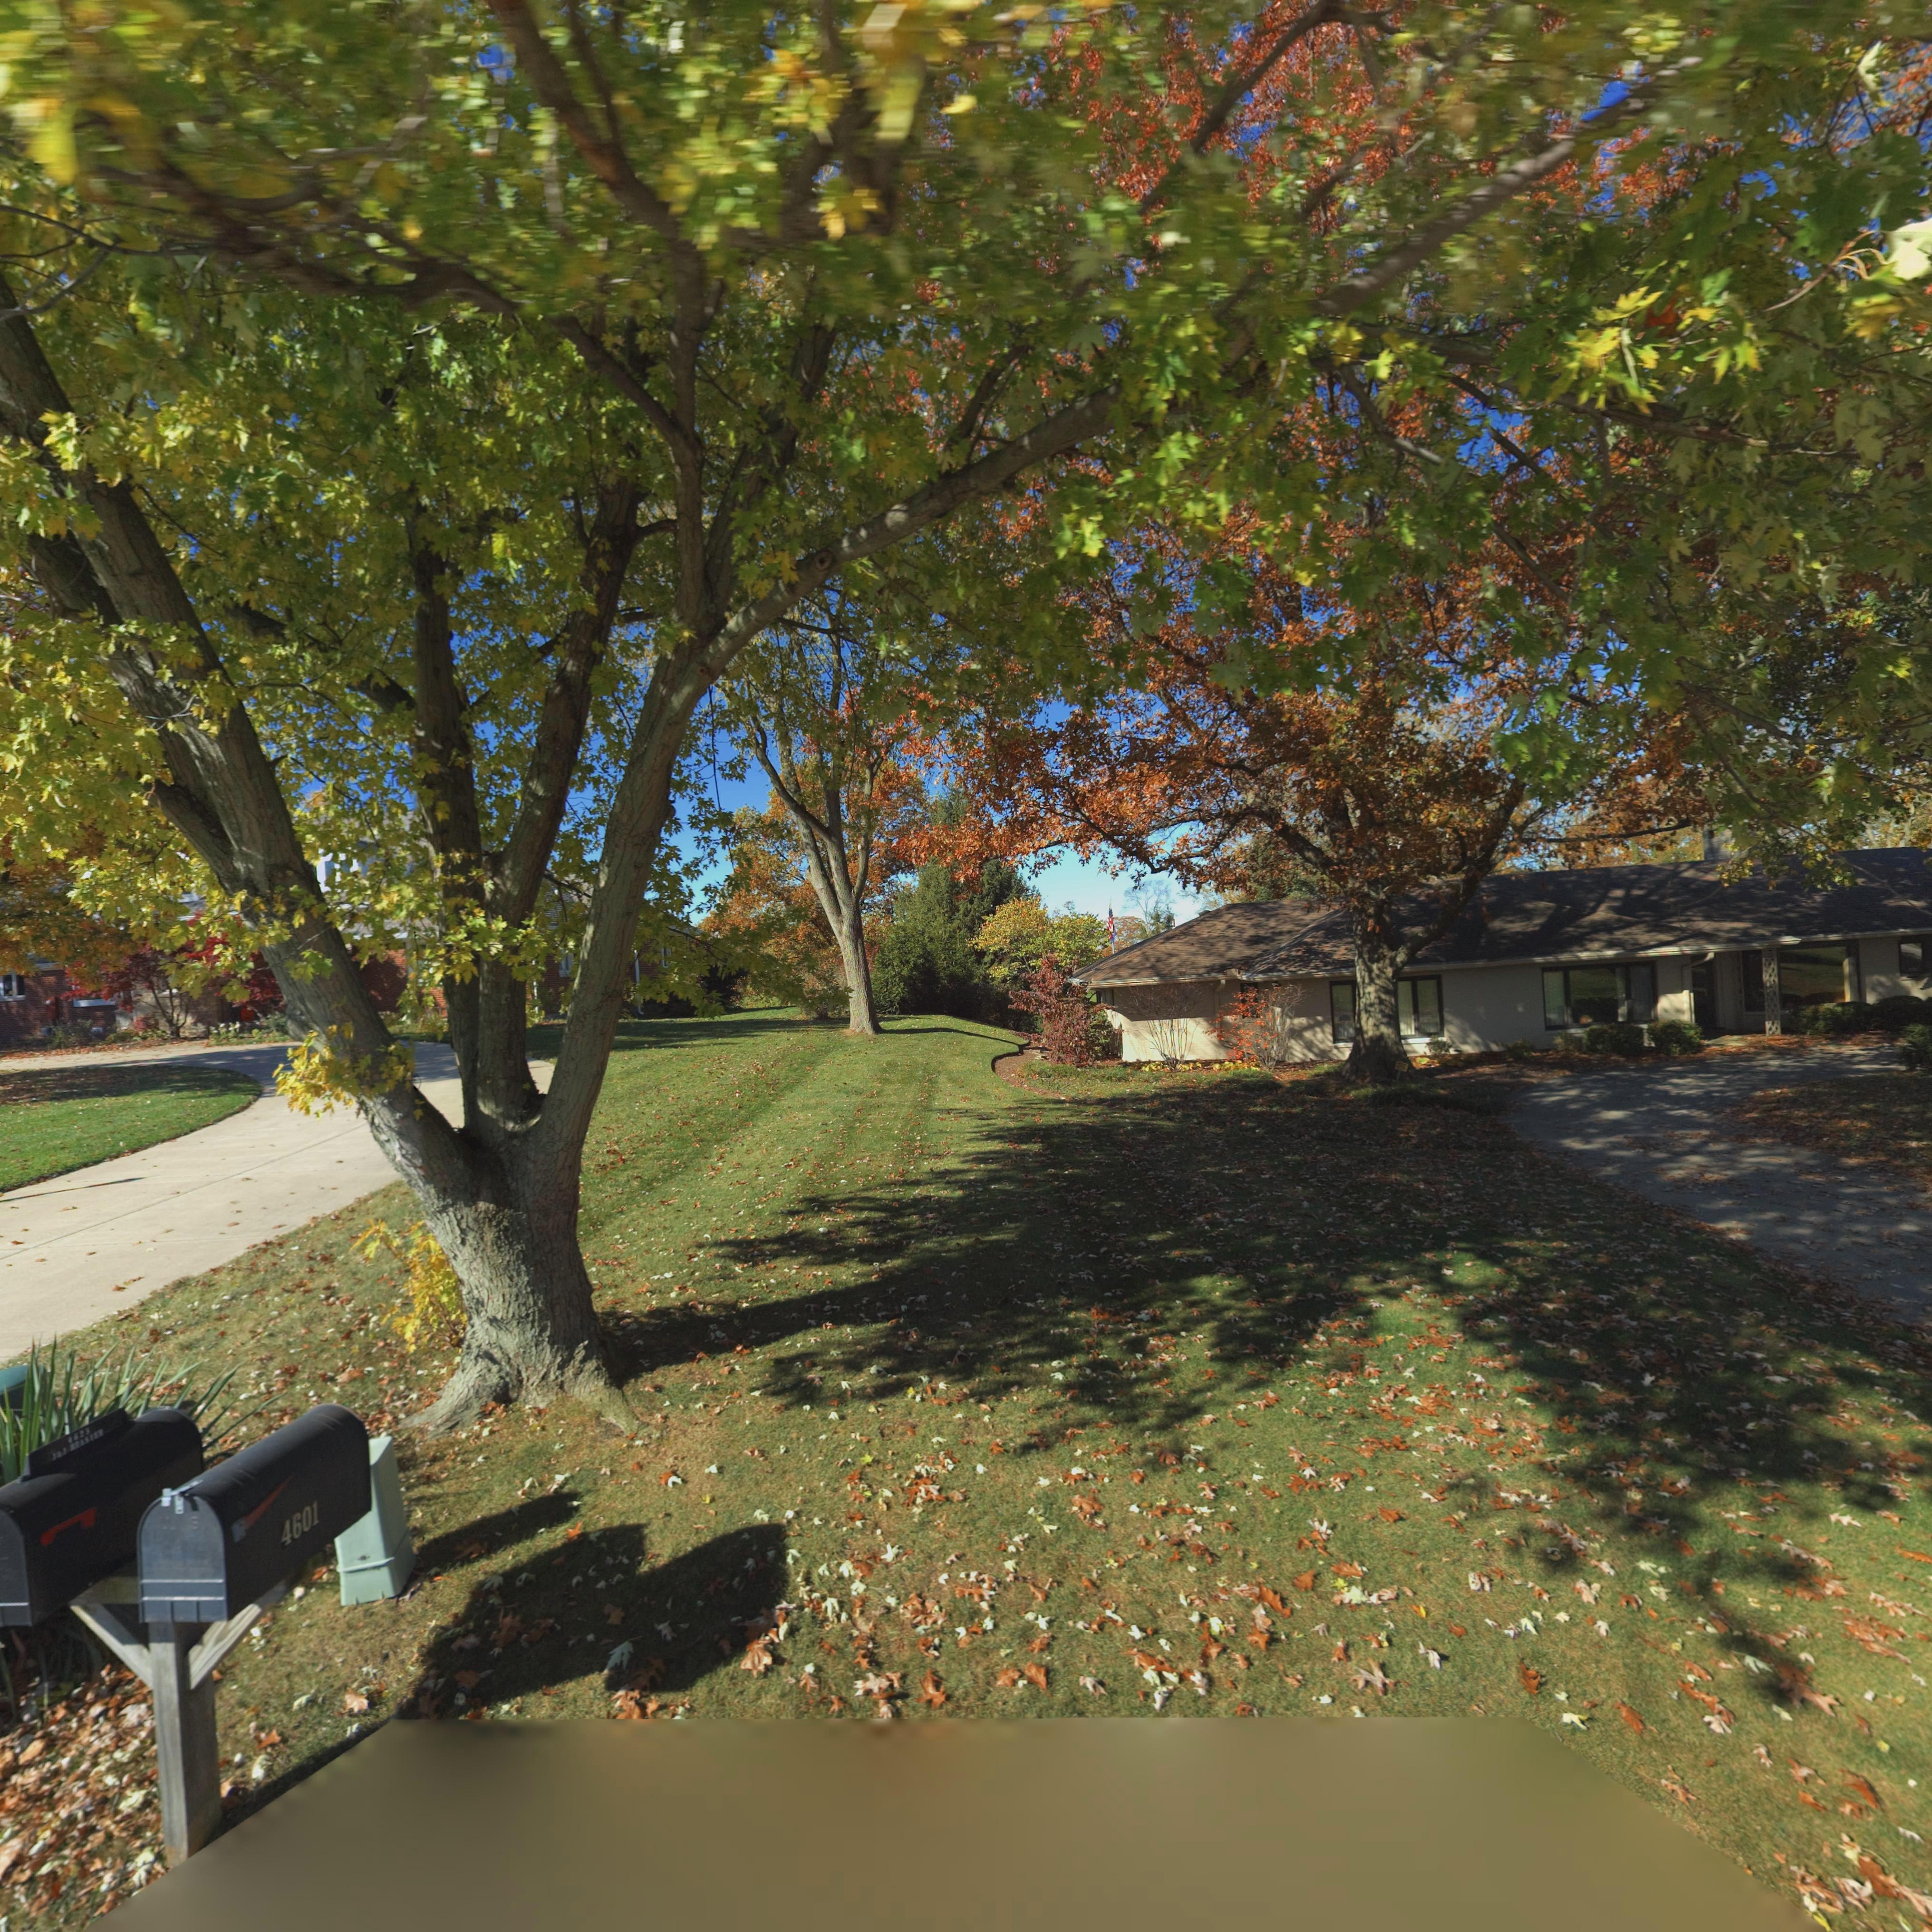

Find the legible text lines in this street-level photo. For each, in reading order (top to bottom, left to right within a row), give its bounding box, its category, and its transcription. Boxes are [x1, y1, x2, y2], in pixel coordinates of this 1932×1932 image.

[66, 1425, 90, 1445] StreetNumber: 462*
[280, 1498, 320, 1548] StreetNumber: 4601